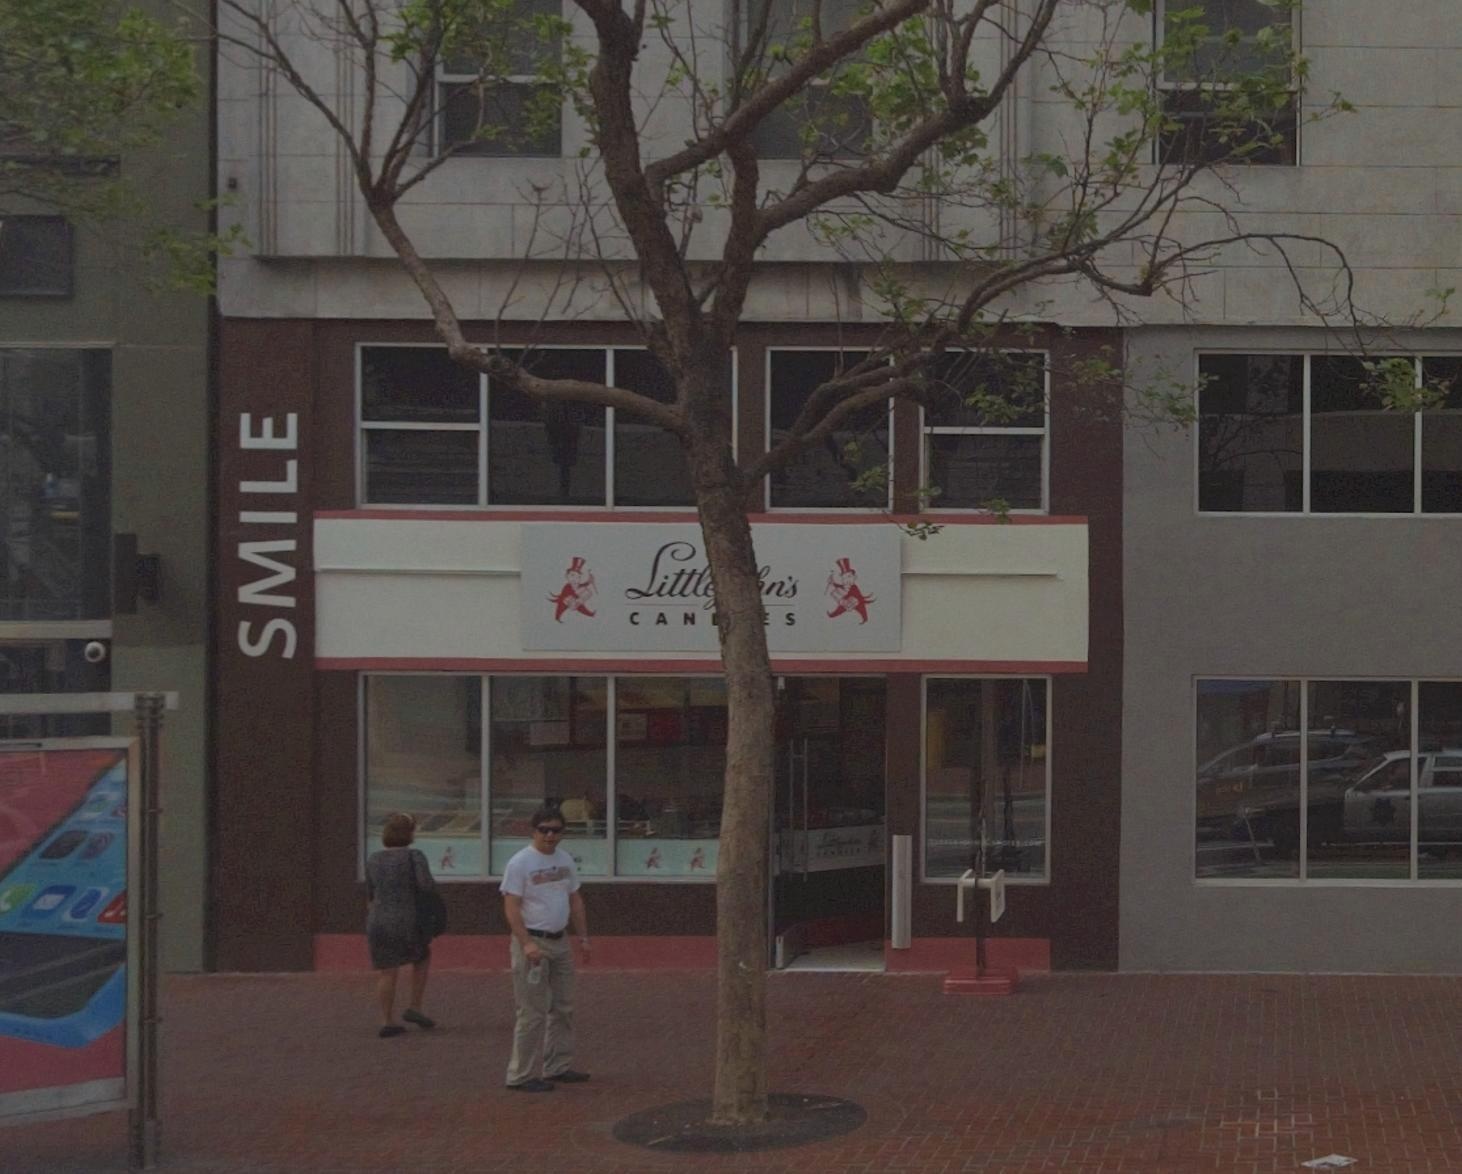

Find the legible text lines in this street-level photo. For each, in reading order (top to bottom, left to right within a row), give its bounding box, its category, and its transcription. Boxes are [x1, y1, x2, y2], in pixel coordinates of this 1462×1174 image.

[234, 408, 303, 664] None: SMILE
[622, 539, 714, 602] BusinessName: Littl
[761, 571, 803, 601] BusinessName: n's
[625, 608, 798, 629] BusinessName: CAN***S